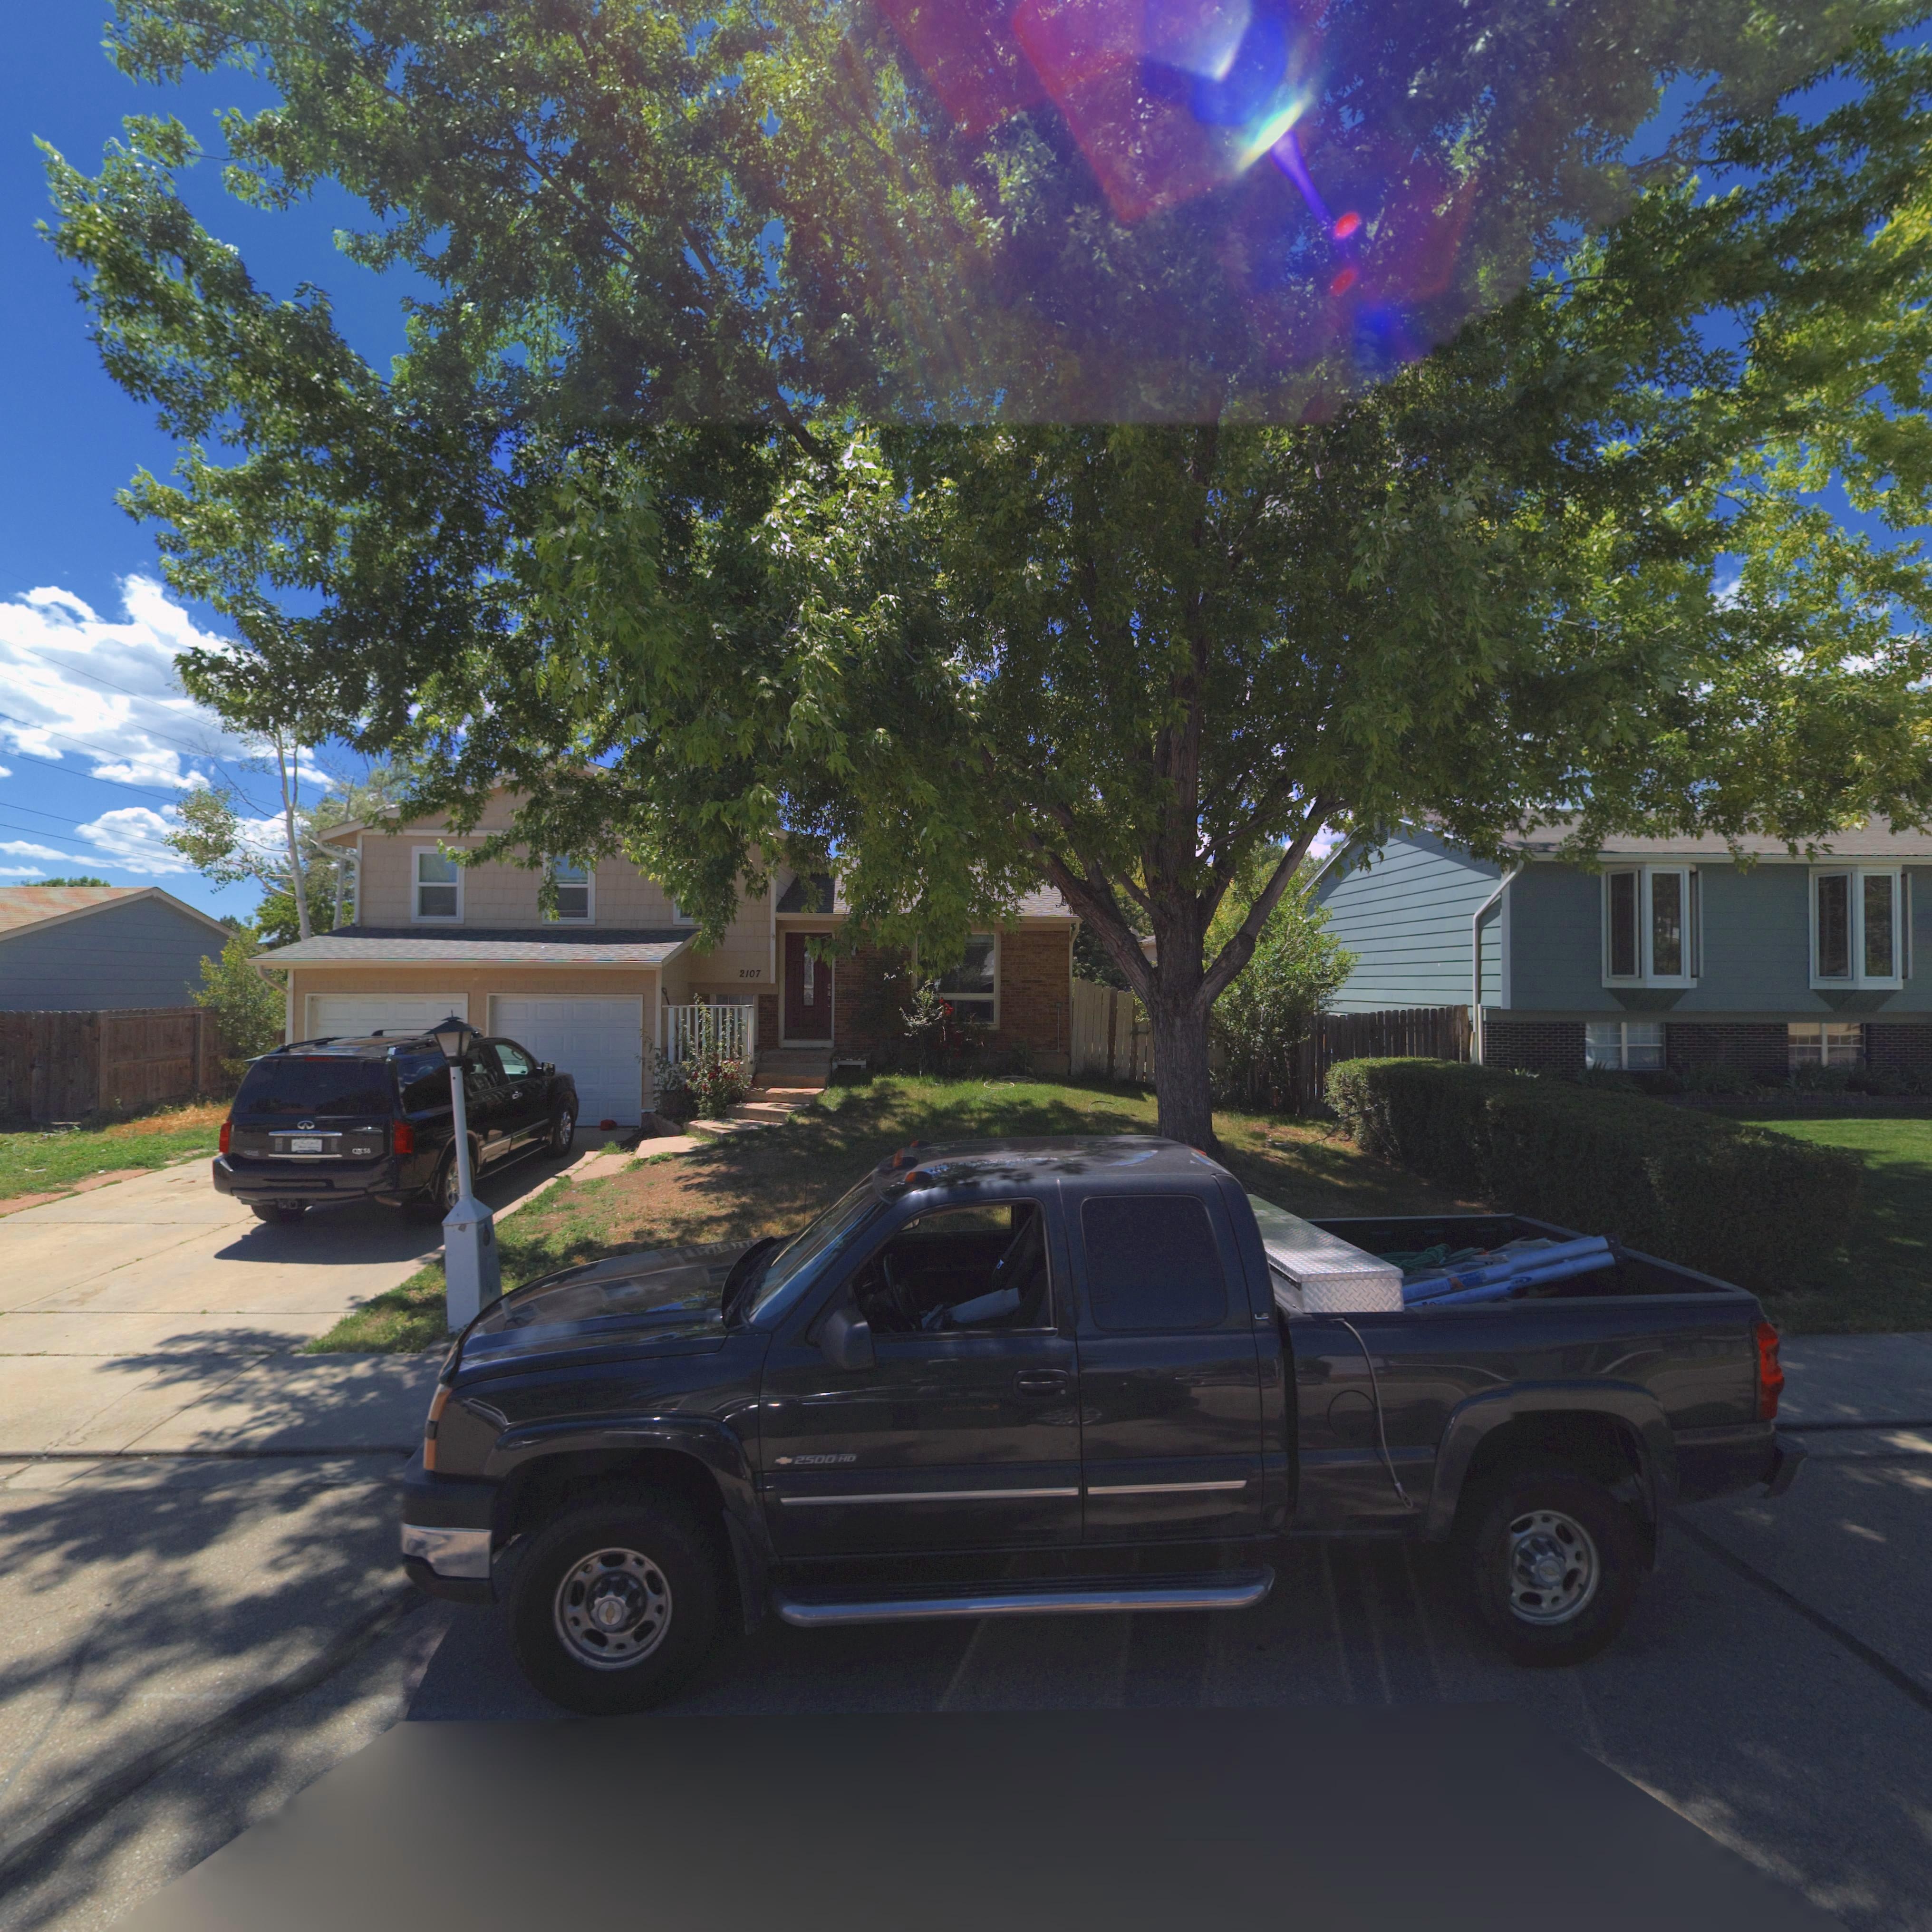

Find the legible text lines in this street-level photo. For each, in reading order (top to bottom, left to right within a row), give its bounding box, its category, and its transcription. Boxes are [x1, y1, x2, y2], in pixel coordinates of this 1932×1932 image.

[739, 969, 762, 978] StreetNumber: 2107